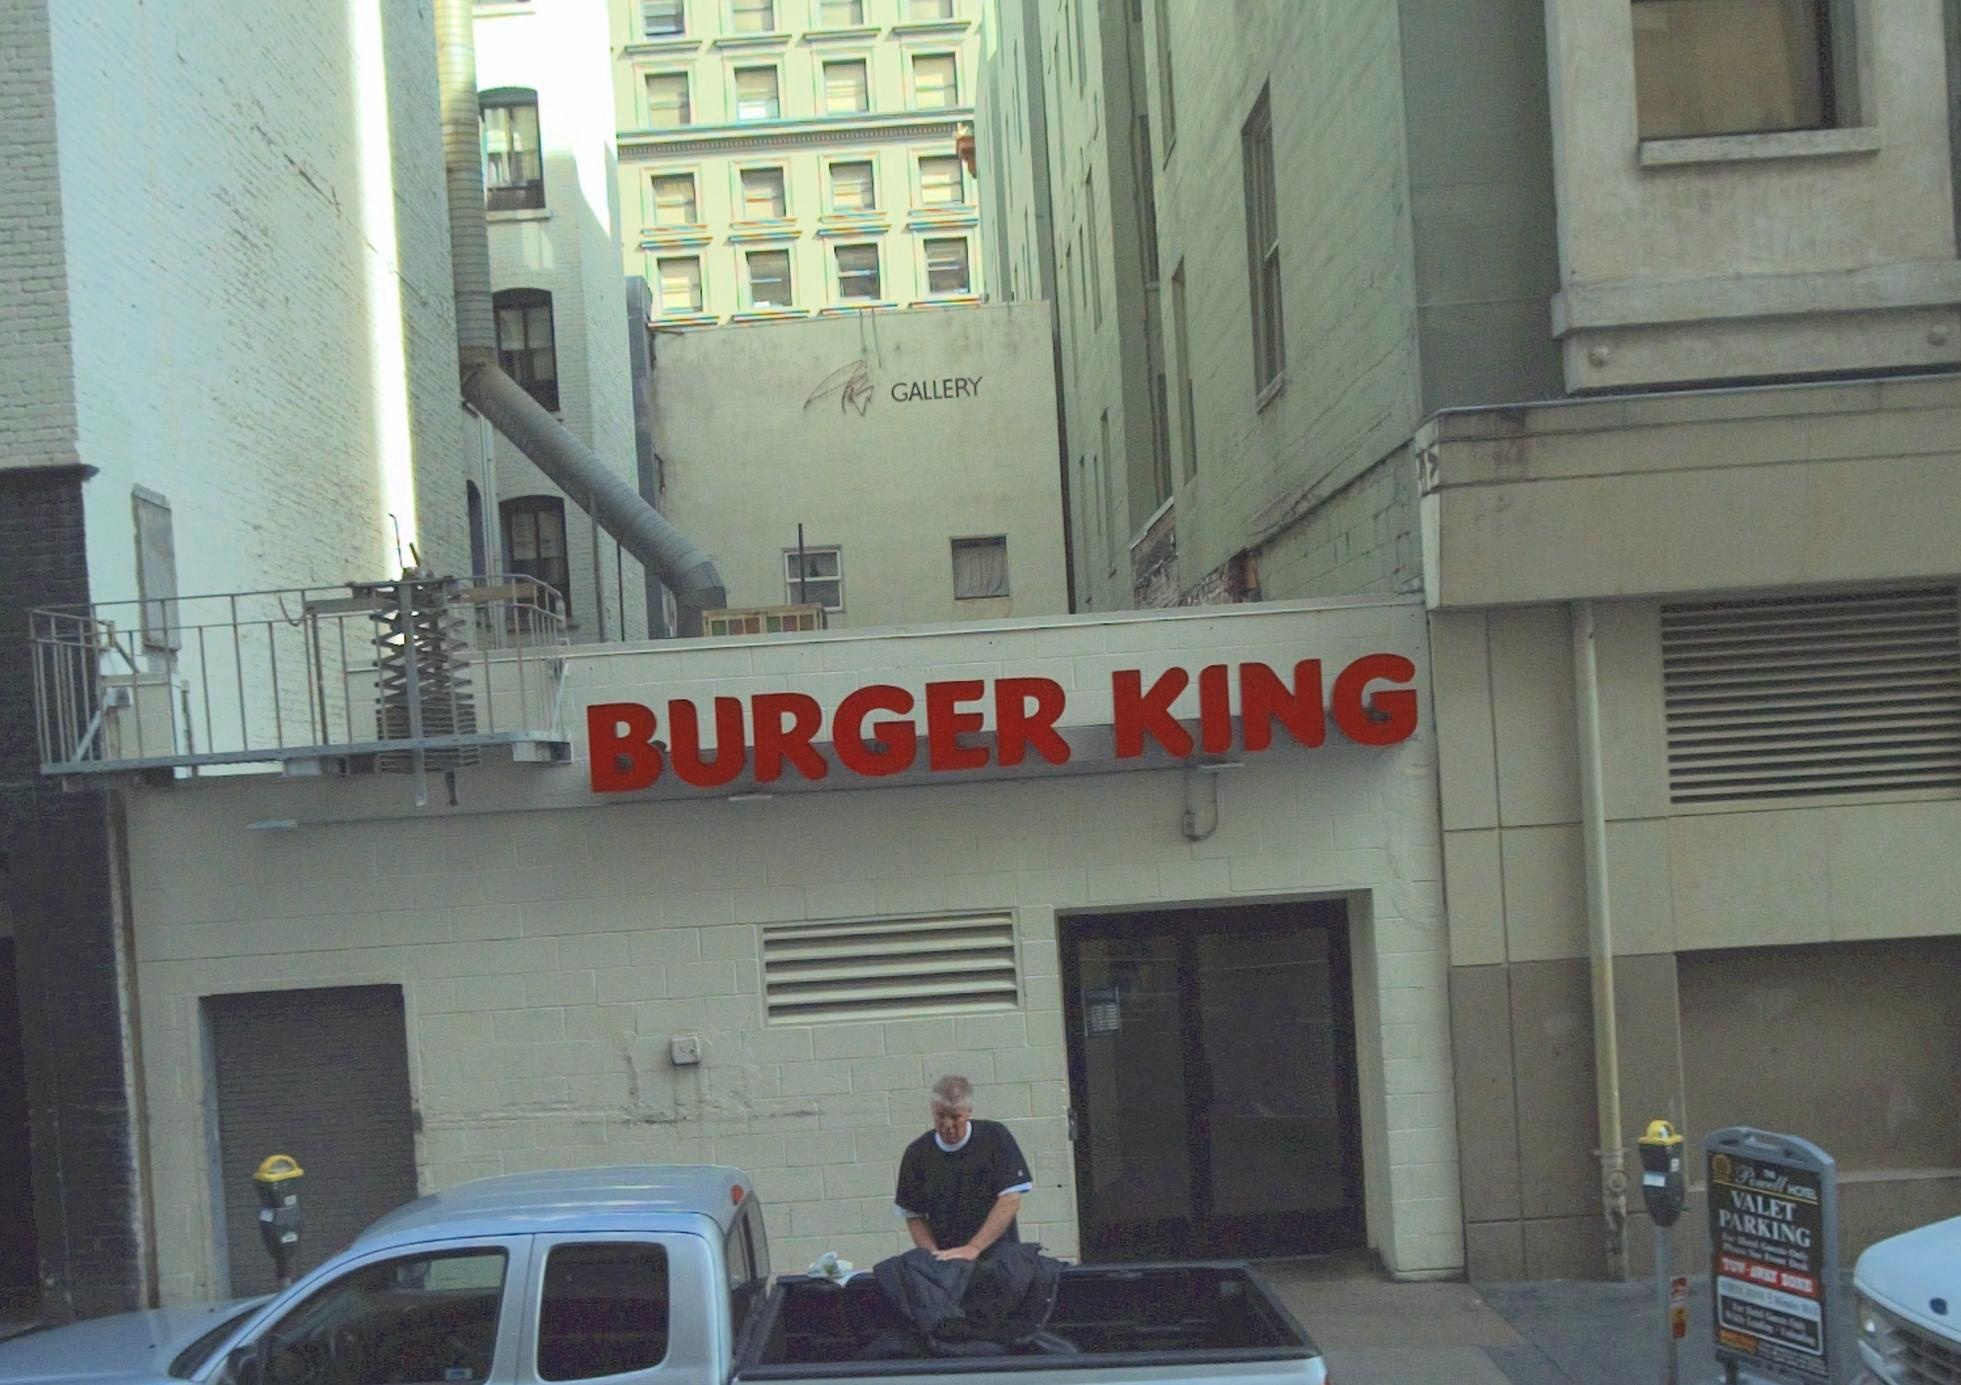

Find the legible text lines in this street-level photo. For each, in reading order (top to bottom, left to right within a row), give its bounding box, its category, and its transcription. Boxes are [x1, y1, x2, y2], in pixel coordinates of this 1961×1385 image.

[888, 372, 987, 406] None: GALLERY
[580, 643, 1428, 801] BusinessName: Burger King
[1727, 1185, 1800, 1226] None: VALET
[1716, 1204, 1814, 1252] None: PARKING